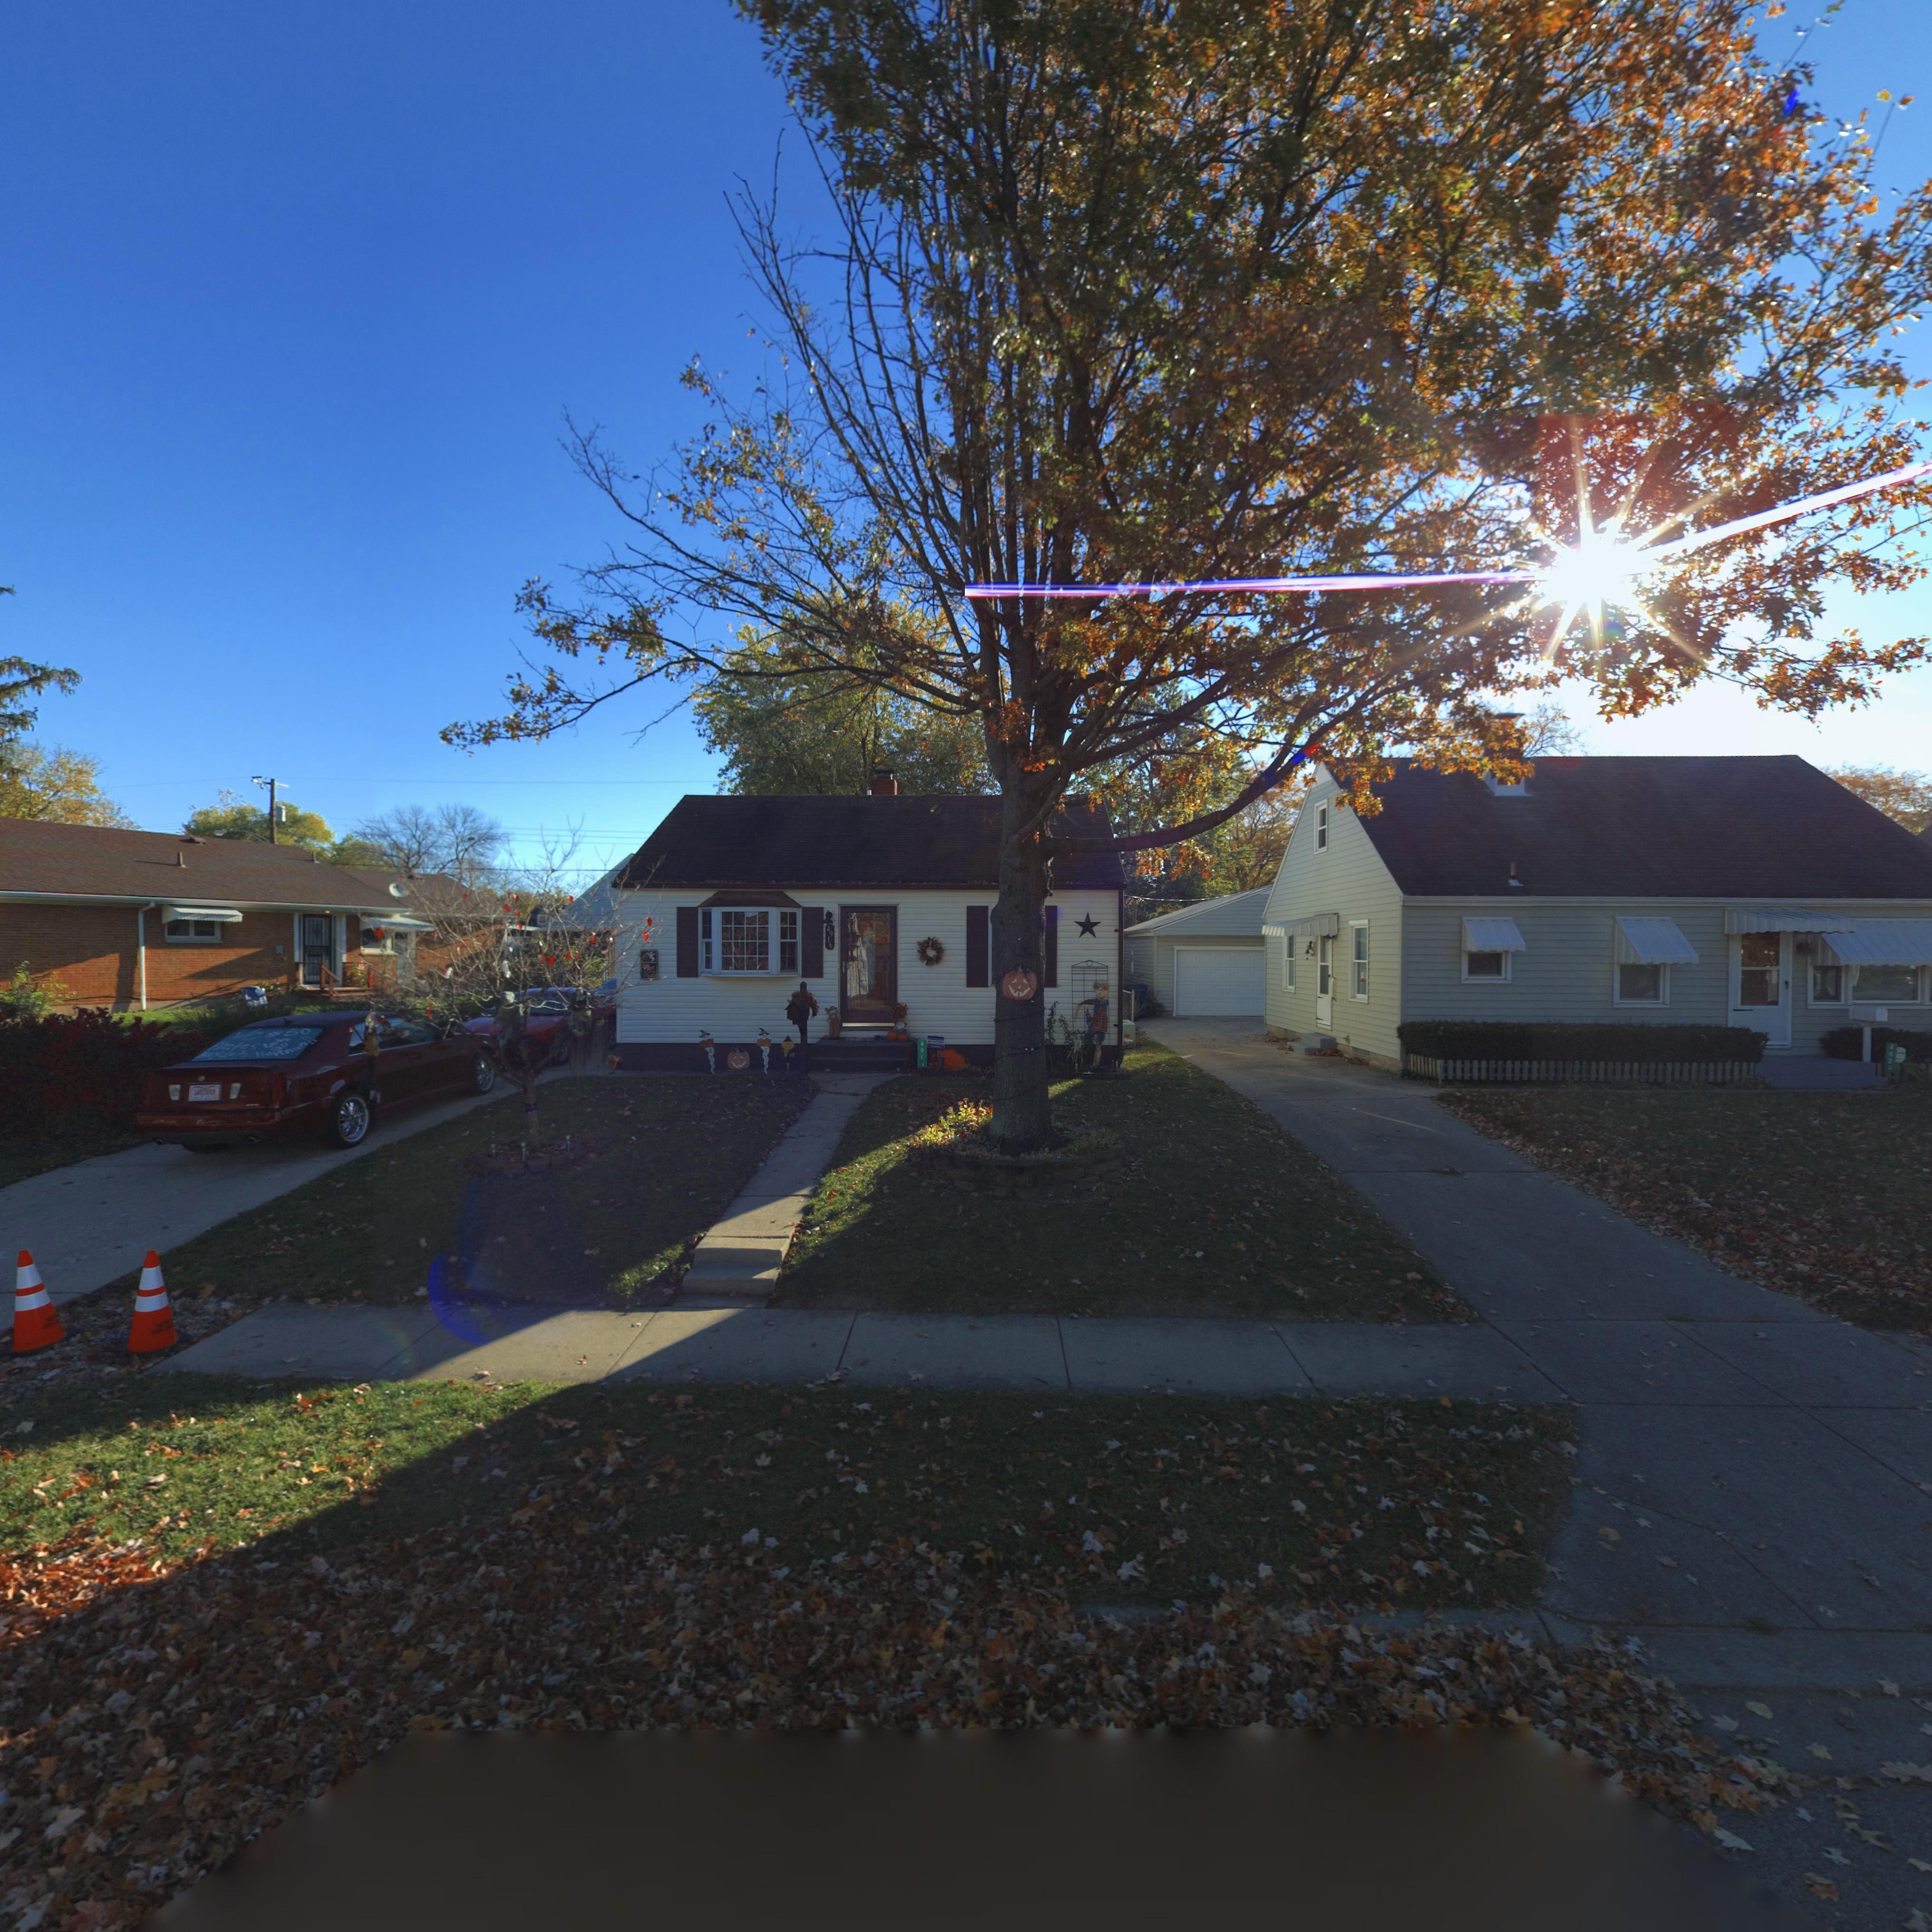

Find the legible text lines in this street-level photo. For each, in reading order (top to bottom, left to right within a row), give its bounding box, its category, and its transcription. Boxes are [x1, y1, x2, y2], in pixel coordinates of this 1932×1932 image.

[825, 924, 834, 949] StreetNumber: 4916
[919, 1040, 925, 1067] StreetNumber: 491*
[1886, 1043, 1895, 1071] StreetNumber: *92*